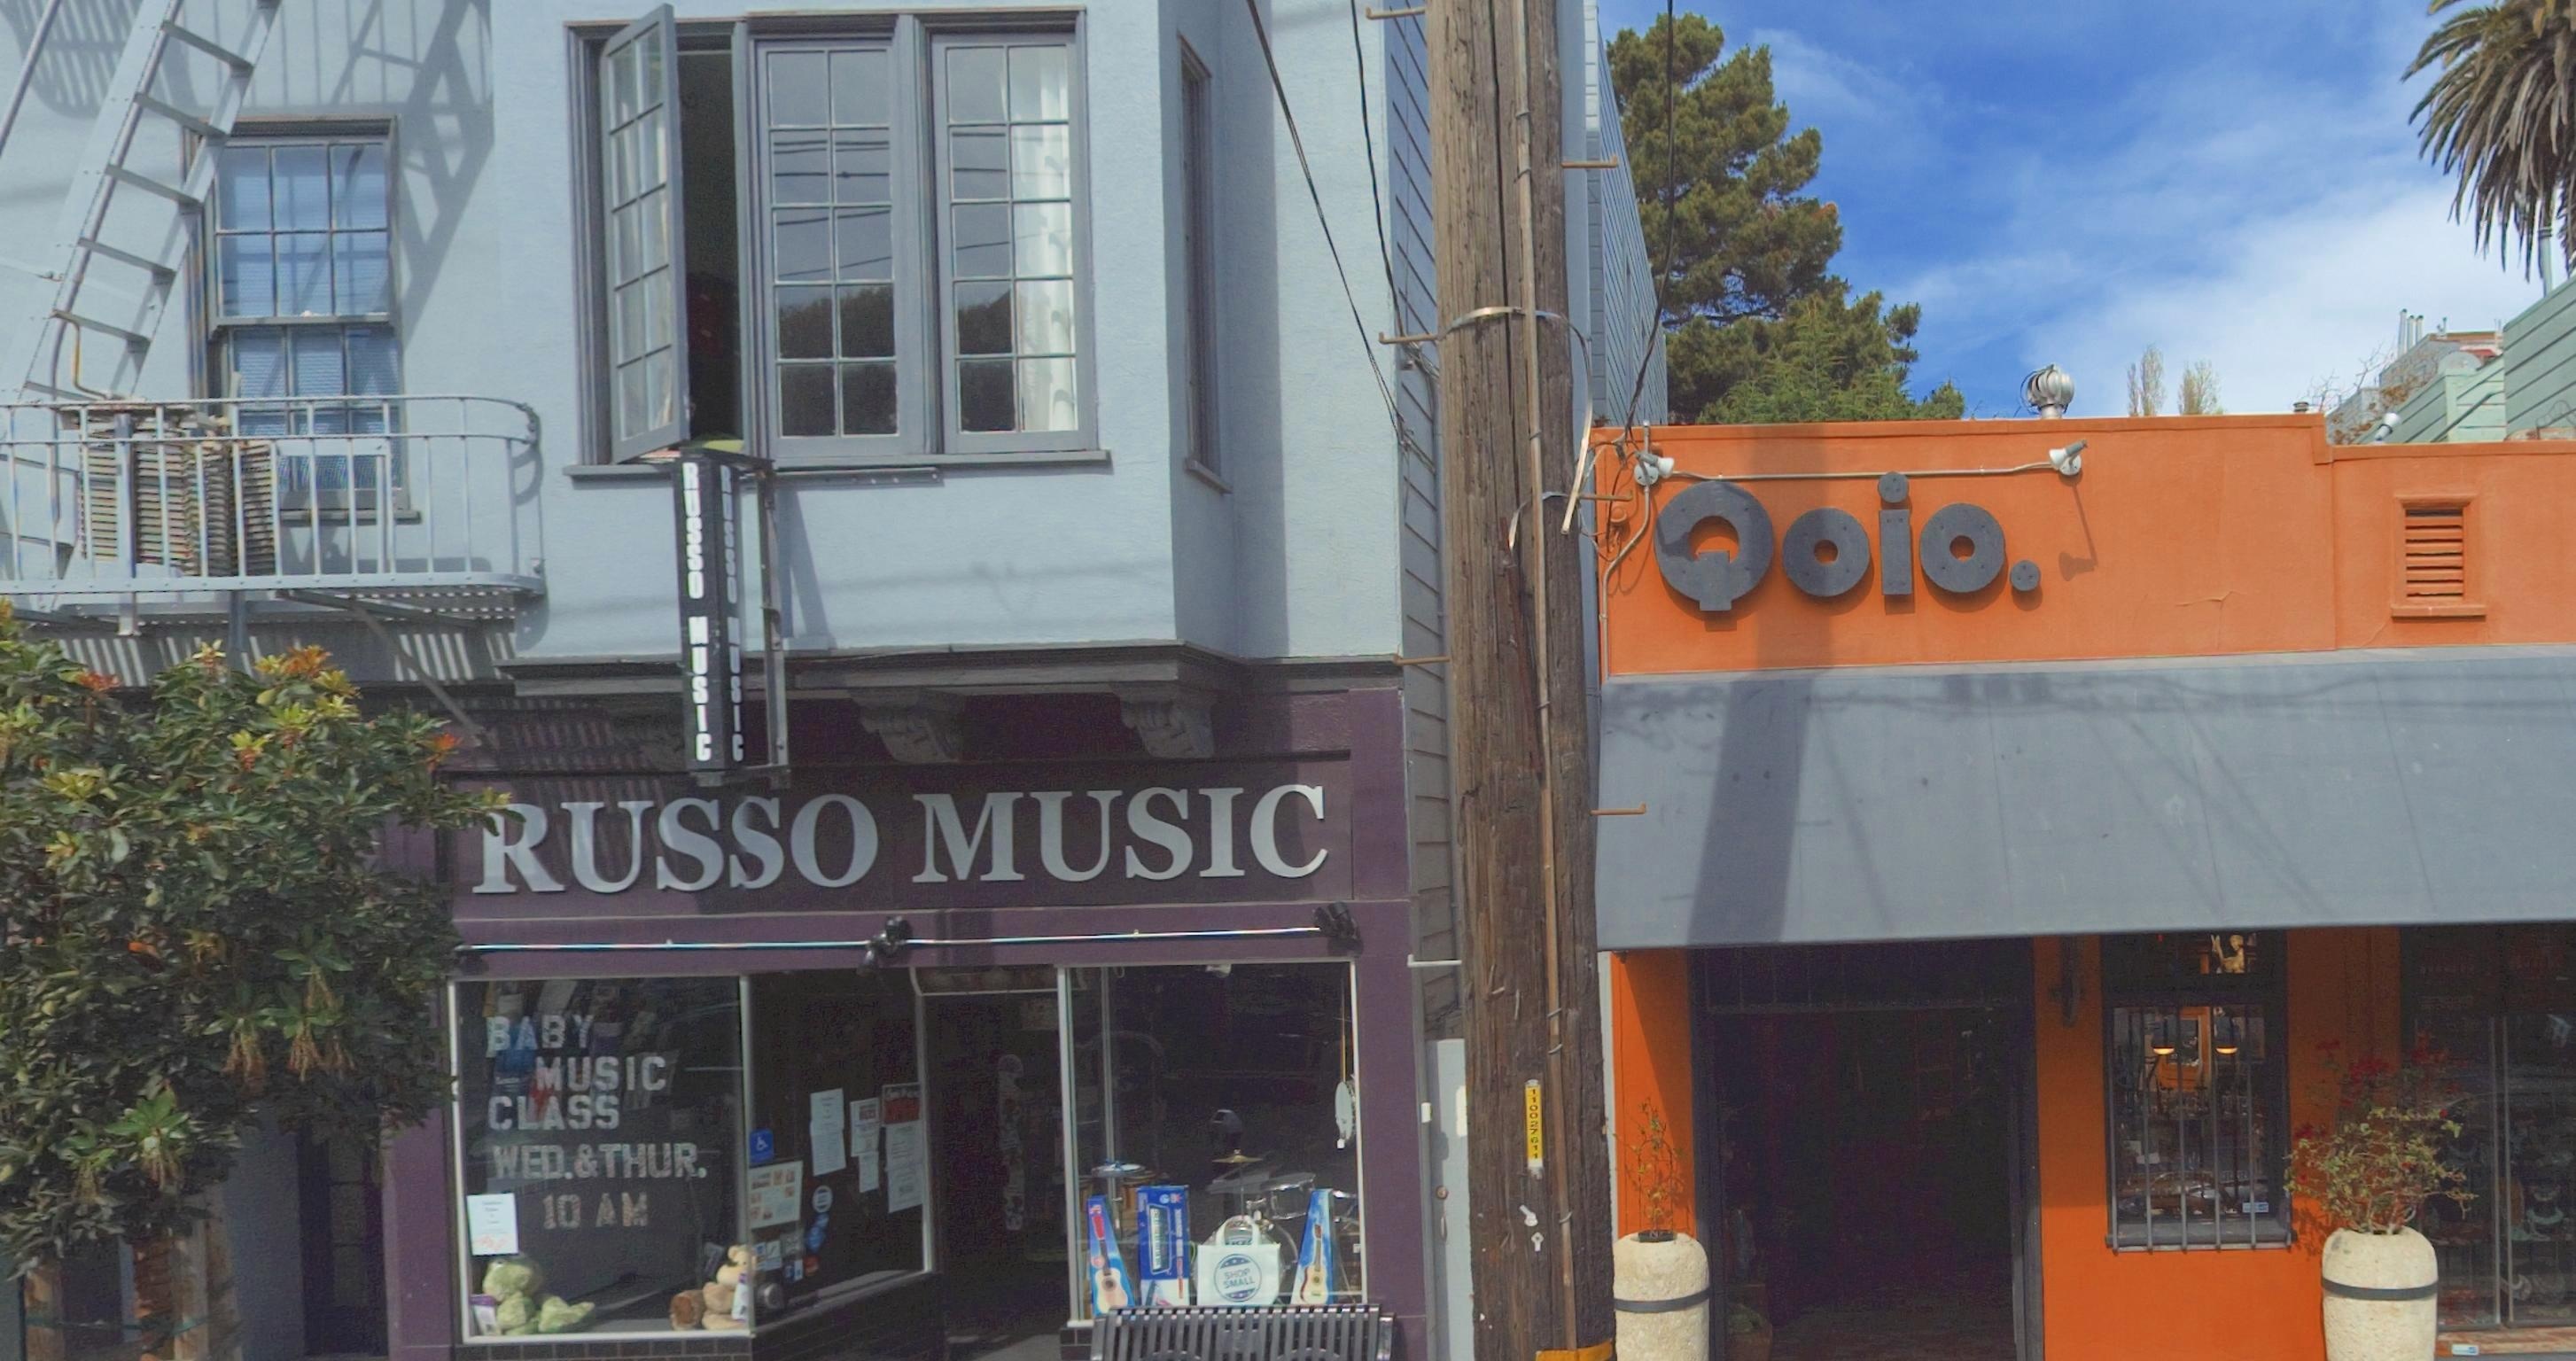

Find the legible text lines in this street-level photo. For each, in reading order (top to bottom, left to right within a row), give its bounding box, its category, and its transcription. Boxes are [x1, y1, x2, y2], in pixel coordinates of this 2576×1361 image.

[1651, 470, 2043, 616] BusinessName: Qoio.
[681, 460, 714, 764] None: RUSSO MUSIC
[719, 463, 745, 764] None: RUSSO MUSIC
[469, 781, 1331, 898] BusinessName: RUSSO MUSIC
[484, 1012, 596, 1054] None: BABY
[534, 1054, 668, 1093] None: MUSIC
[486, 1093, 621, 1132] None: CLASS
[1528, 1087, 1540, 1160] None: 110027611
[490, 1141, 708, 1181] None: WED.&THUR.
[542, 1191, 650, 1231] None: 10 AM
[1221, 1266, 1253, 1282] None: SHOP
[1221, 1274, 1257, 1291] None: SMALL